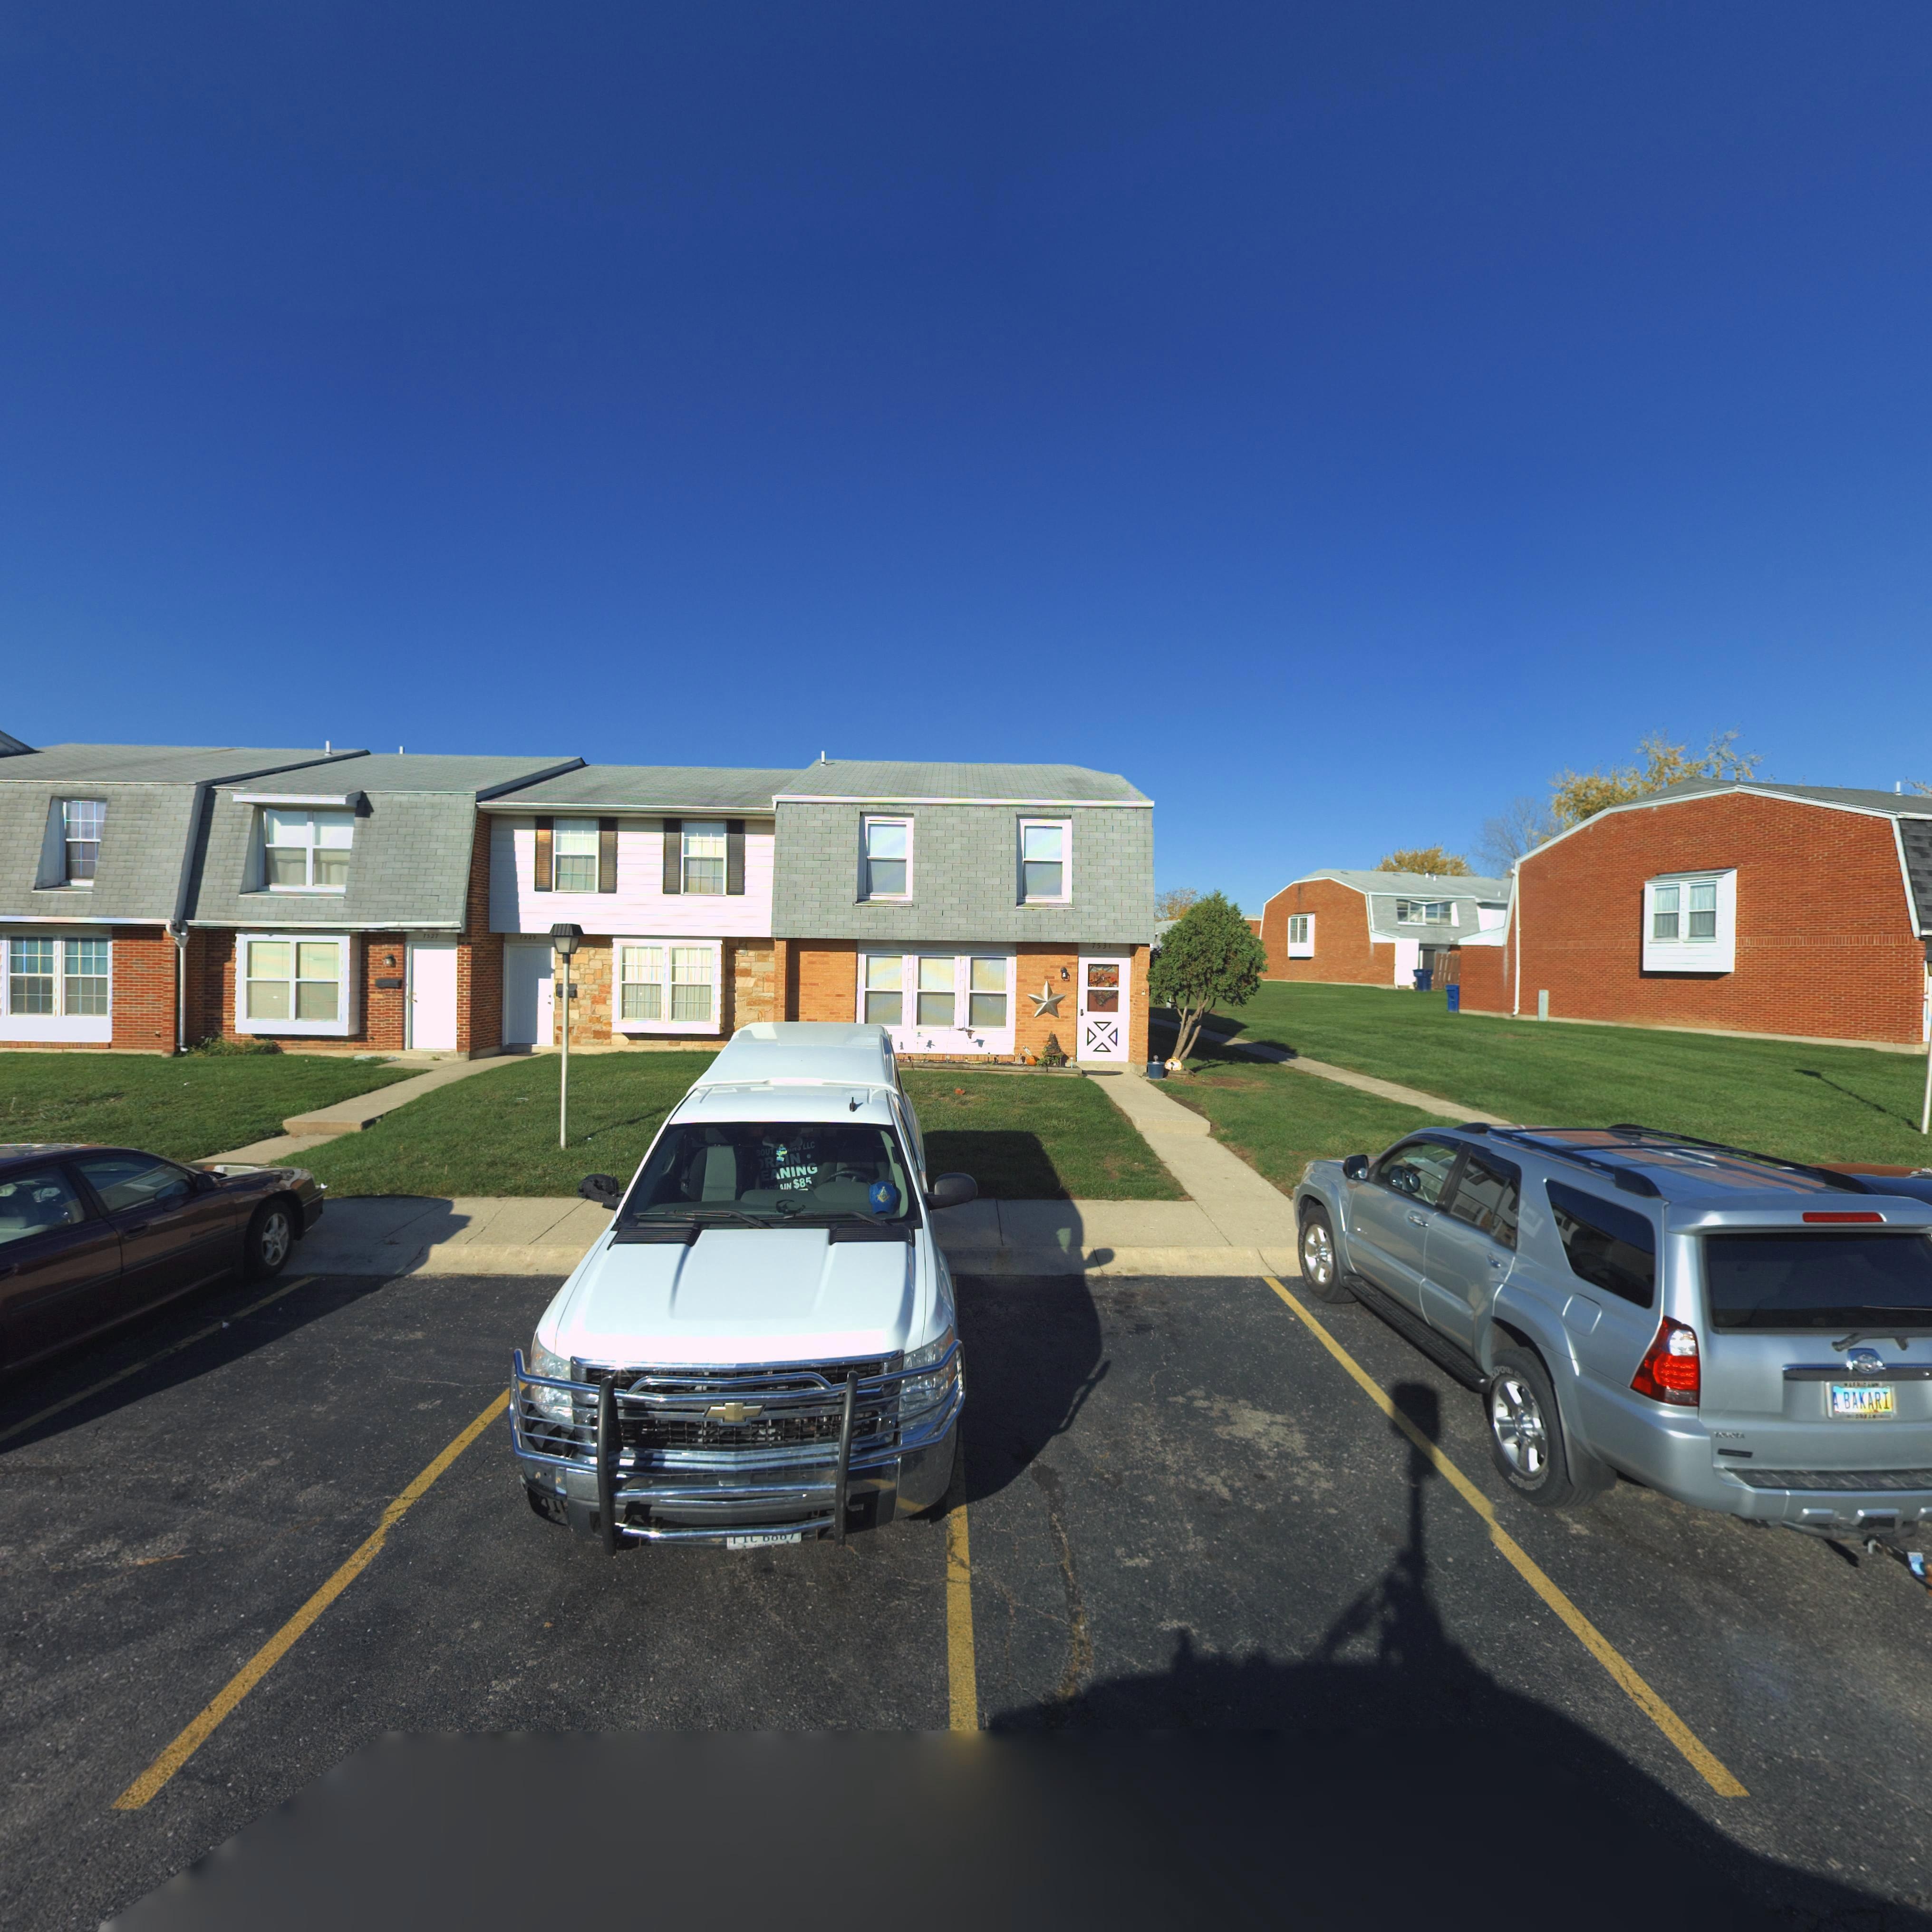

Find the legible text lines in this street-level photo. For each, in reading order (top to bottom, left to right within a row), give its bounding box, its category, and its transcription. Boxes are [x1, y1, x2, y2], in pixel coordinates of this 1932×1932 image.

[423, 933, 439, 938] StreetNumber: 7527
[519, 935, 536, 940] StreetNumber: 7529
[1091, 942, 1111, 949] StreetNumber: 7531